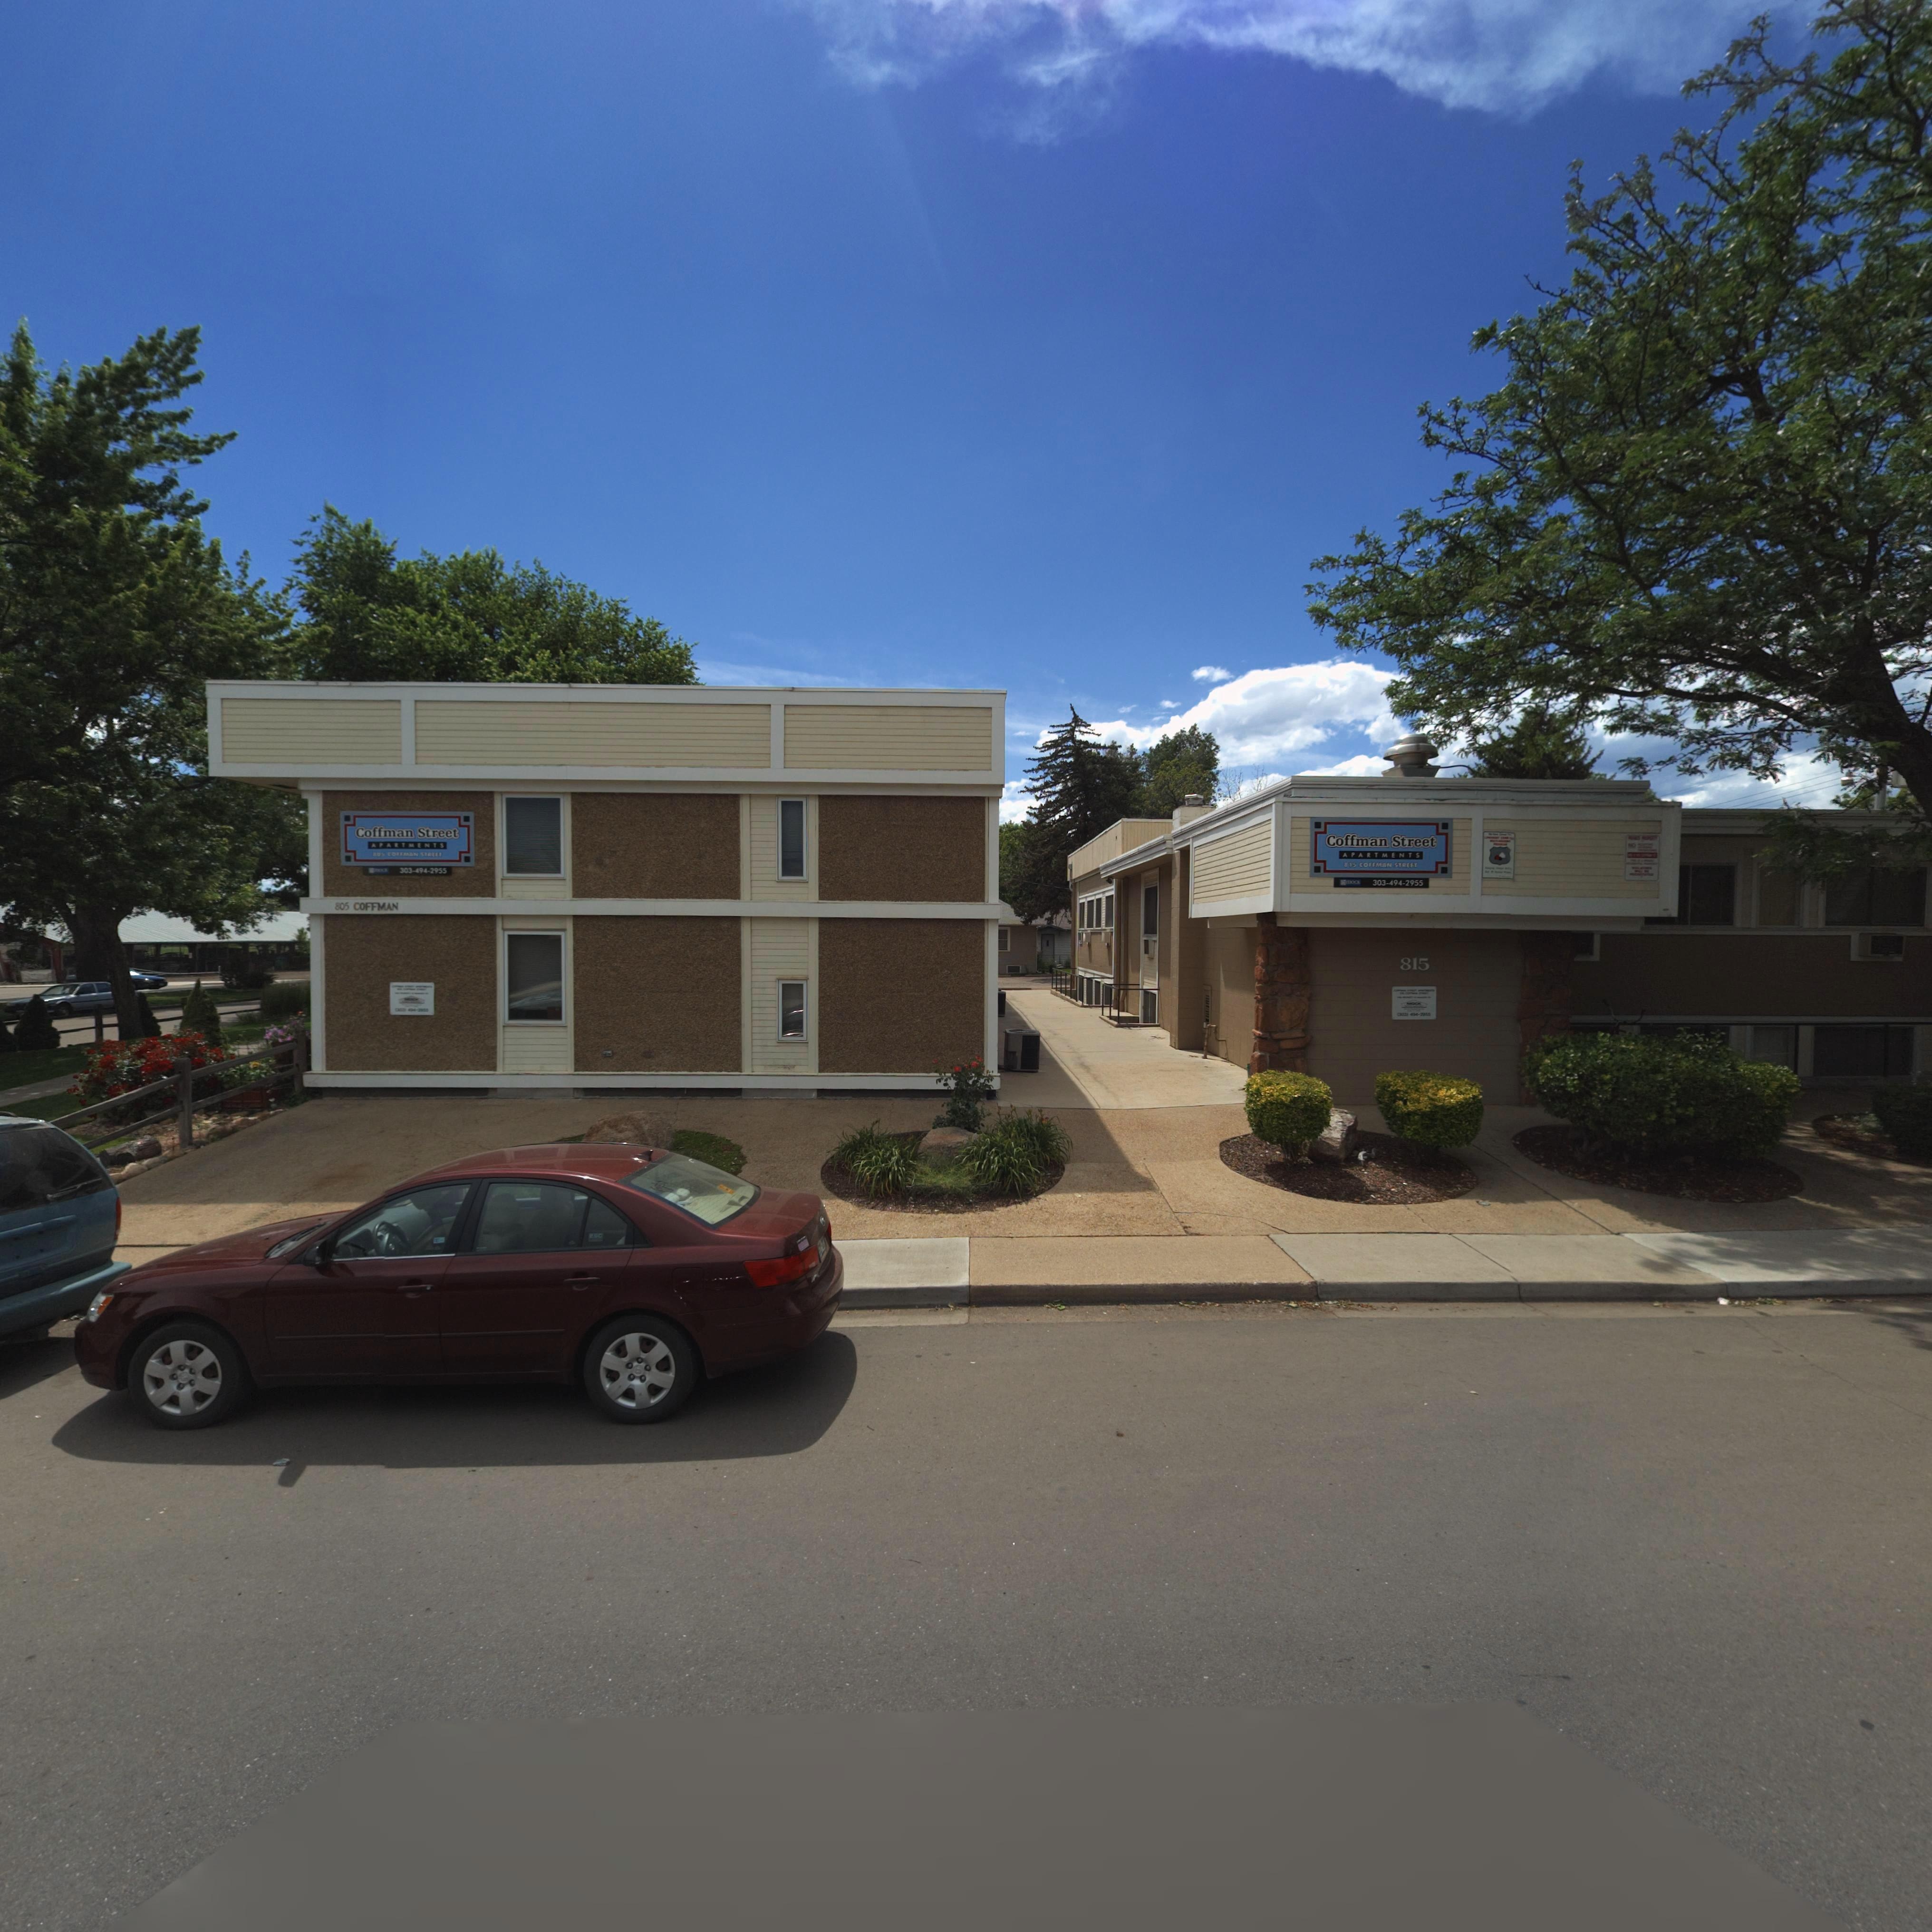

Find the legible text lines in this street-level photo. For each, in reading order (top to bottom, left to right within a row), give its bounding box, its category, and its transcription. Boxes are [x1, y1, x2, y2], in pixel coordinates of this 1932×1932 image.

[354, 825, 459, 839] BusinessName: Coffman Street
[1326, 835, 1435, 847] BusinessName: Coffman Street
[370, 842, 444, 848] BusinessName: APARTMENTS
[373, 852, 385, 857] StreetNumber: 805
[387, 851, 443, 857] StreetName: COFFMAN STREET
[1343, 852, 1420, 858] BusinessName: APARTMENTS
[1344, 862, 1356, 867] StreetNumber: 815
[1360, 862, 1417, 867] StreetName: COFFMAN STREET
[334, 902, 349, 910] StreetNumber: 805
[352, 902, 398, 910] StreetName: COFFMAN
[1400, 957, 1428, 971] StreetNumber: 815